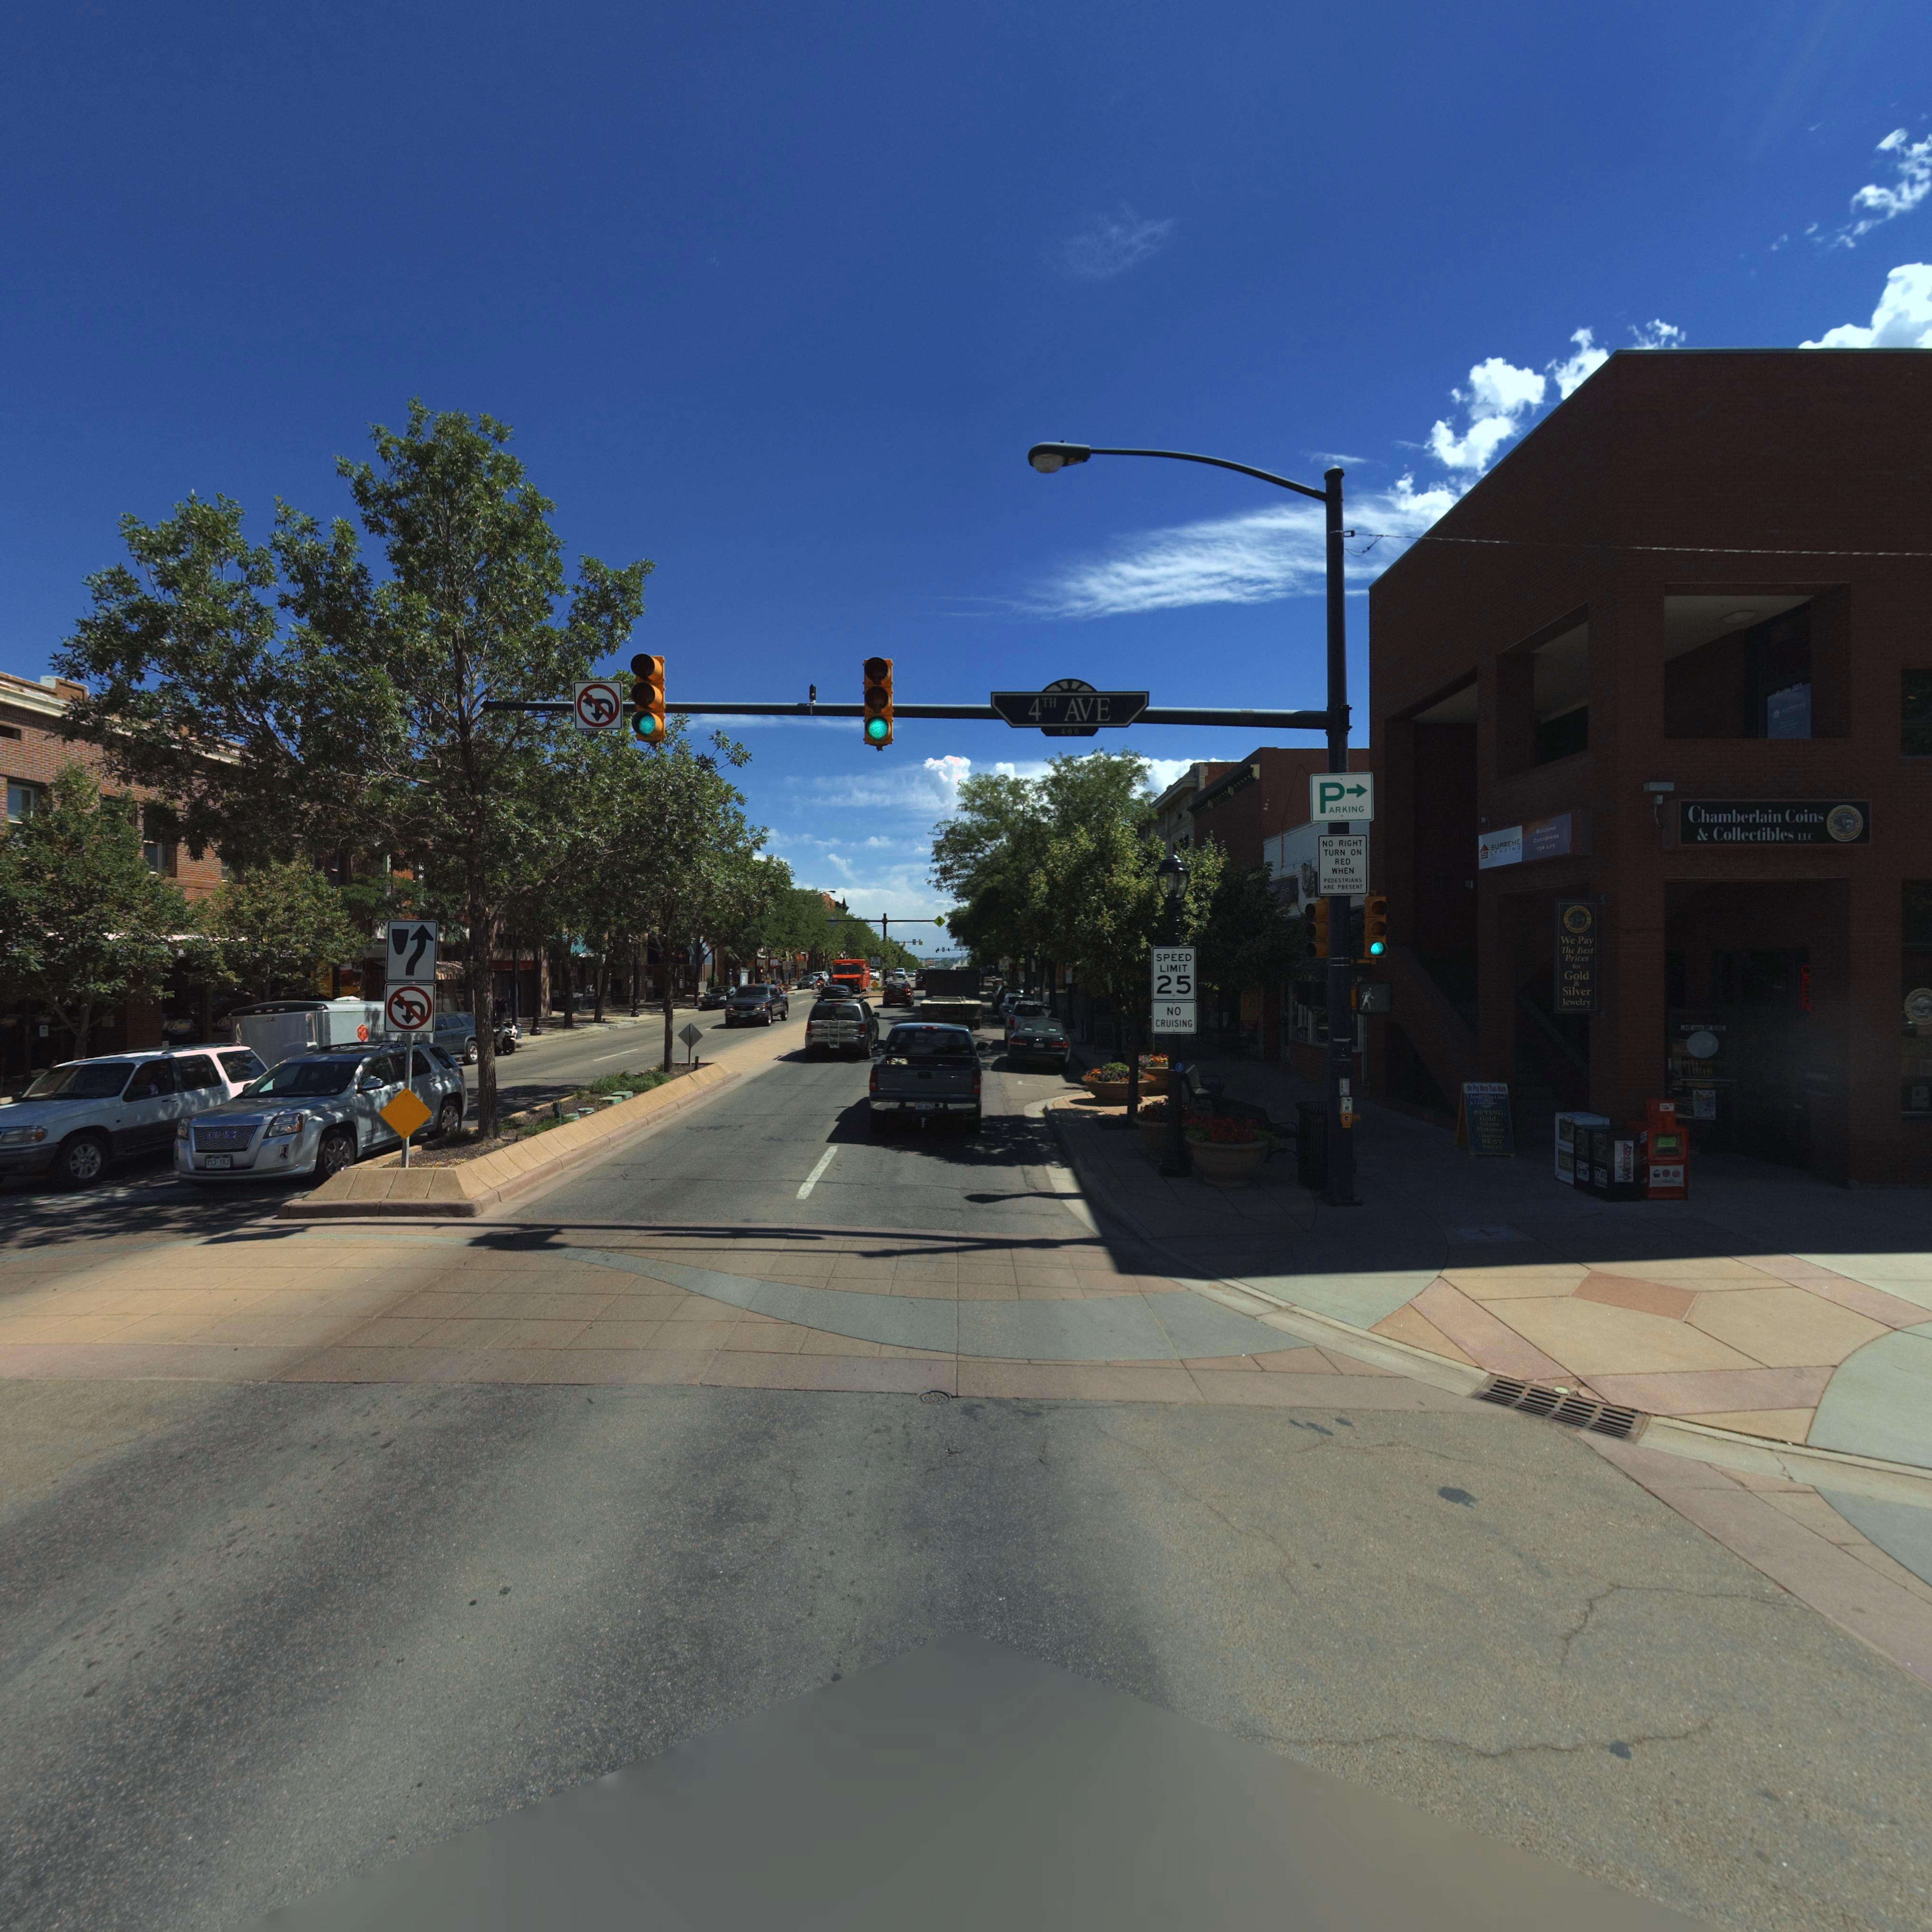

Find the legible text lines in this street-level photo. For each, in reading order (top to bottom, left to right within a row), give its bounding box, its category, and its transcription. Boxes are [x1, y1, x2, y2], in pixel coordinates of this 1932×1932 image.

[1024, 698, 1116, 721] StreetName: 4 AVE
[1060, 726, 1079, 735] StreetNumberRange: 400
[1687, 804, 1825, 823] BusinessName: Chamberlain Coins
[1697, 826, 1815, 841] BusinessName: & Collectibles LLC
[1490, 838, 1520, 850] BusinessName: SUPREME
[1490, 845, 1520, 856] BusinessName: LENDING
[1573, 980, 1580, 986] BusinessName: &
[1681, 1024, 1710, 1031] StreetName: t* *i*M